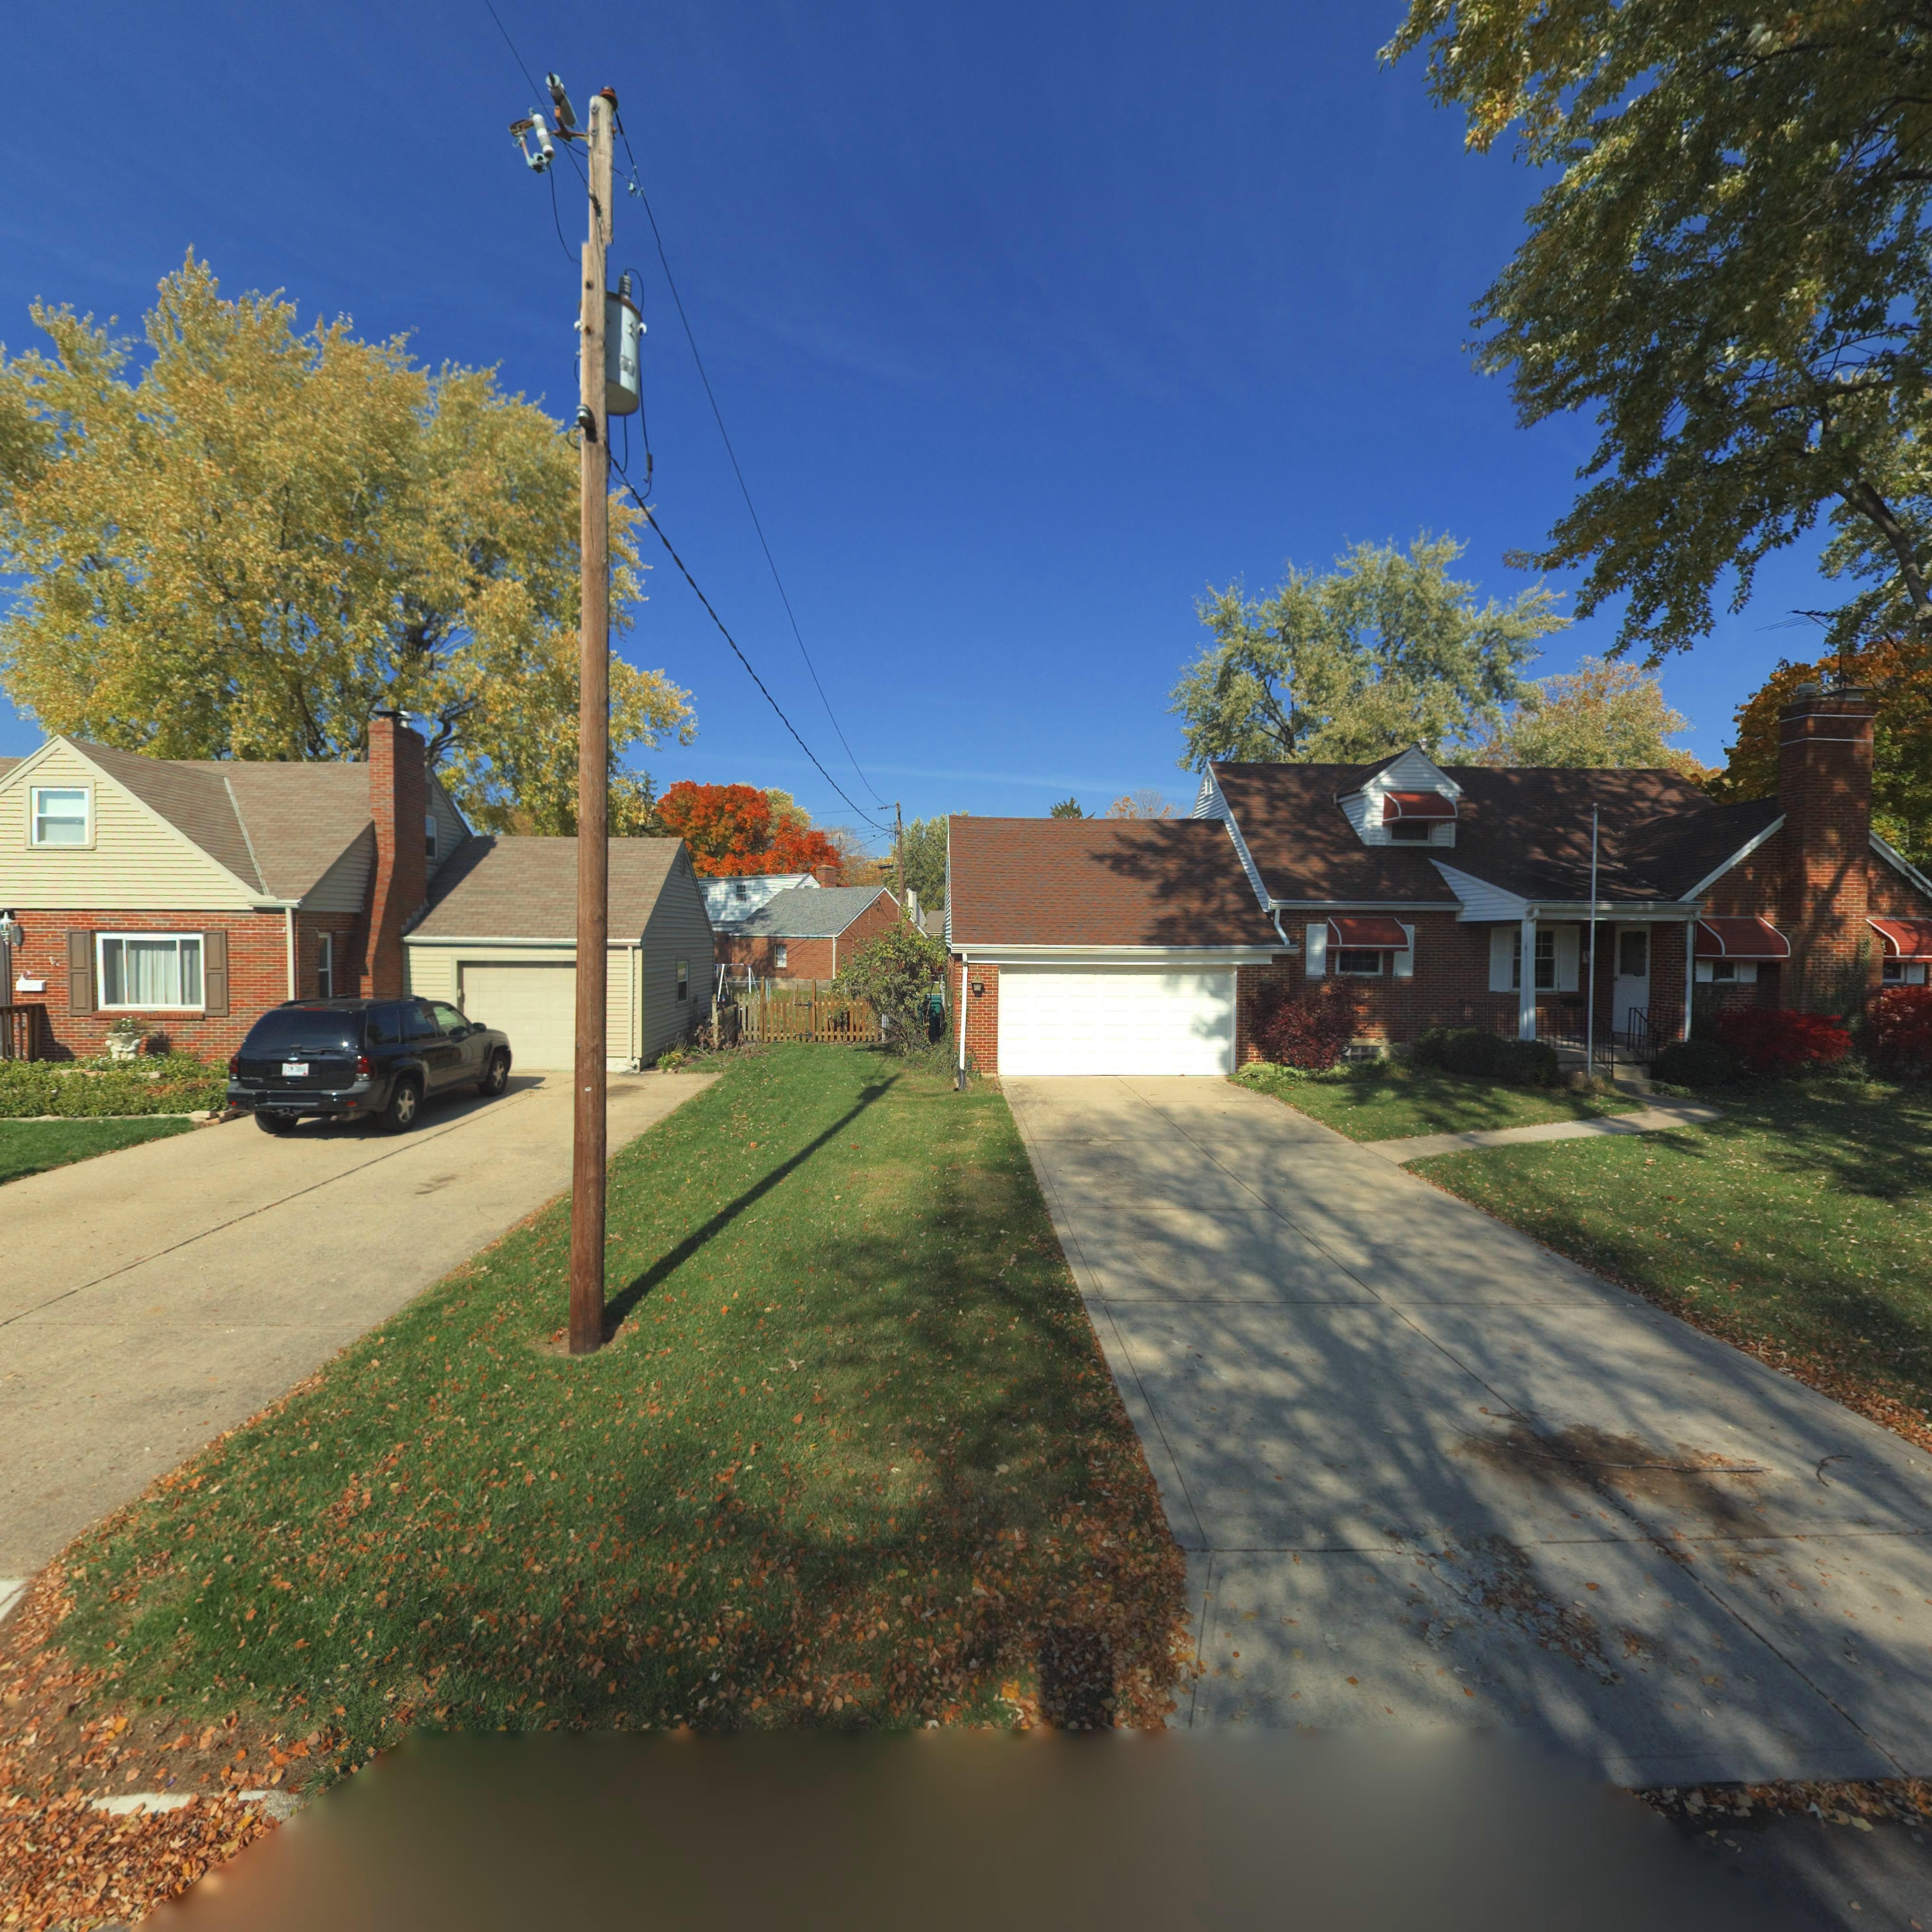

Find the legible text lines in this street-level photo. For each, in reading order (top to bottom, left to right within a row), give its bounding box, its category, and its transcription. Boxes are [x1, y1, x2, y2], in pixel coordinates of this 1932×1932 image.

[283, 1065, 306, 1072] None: FZ**3066